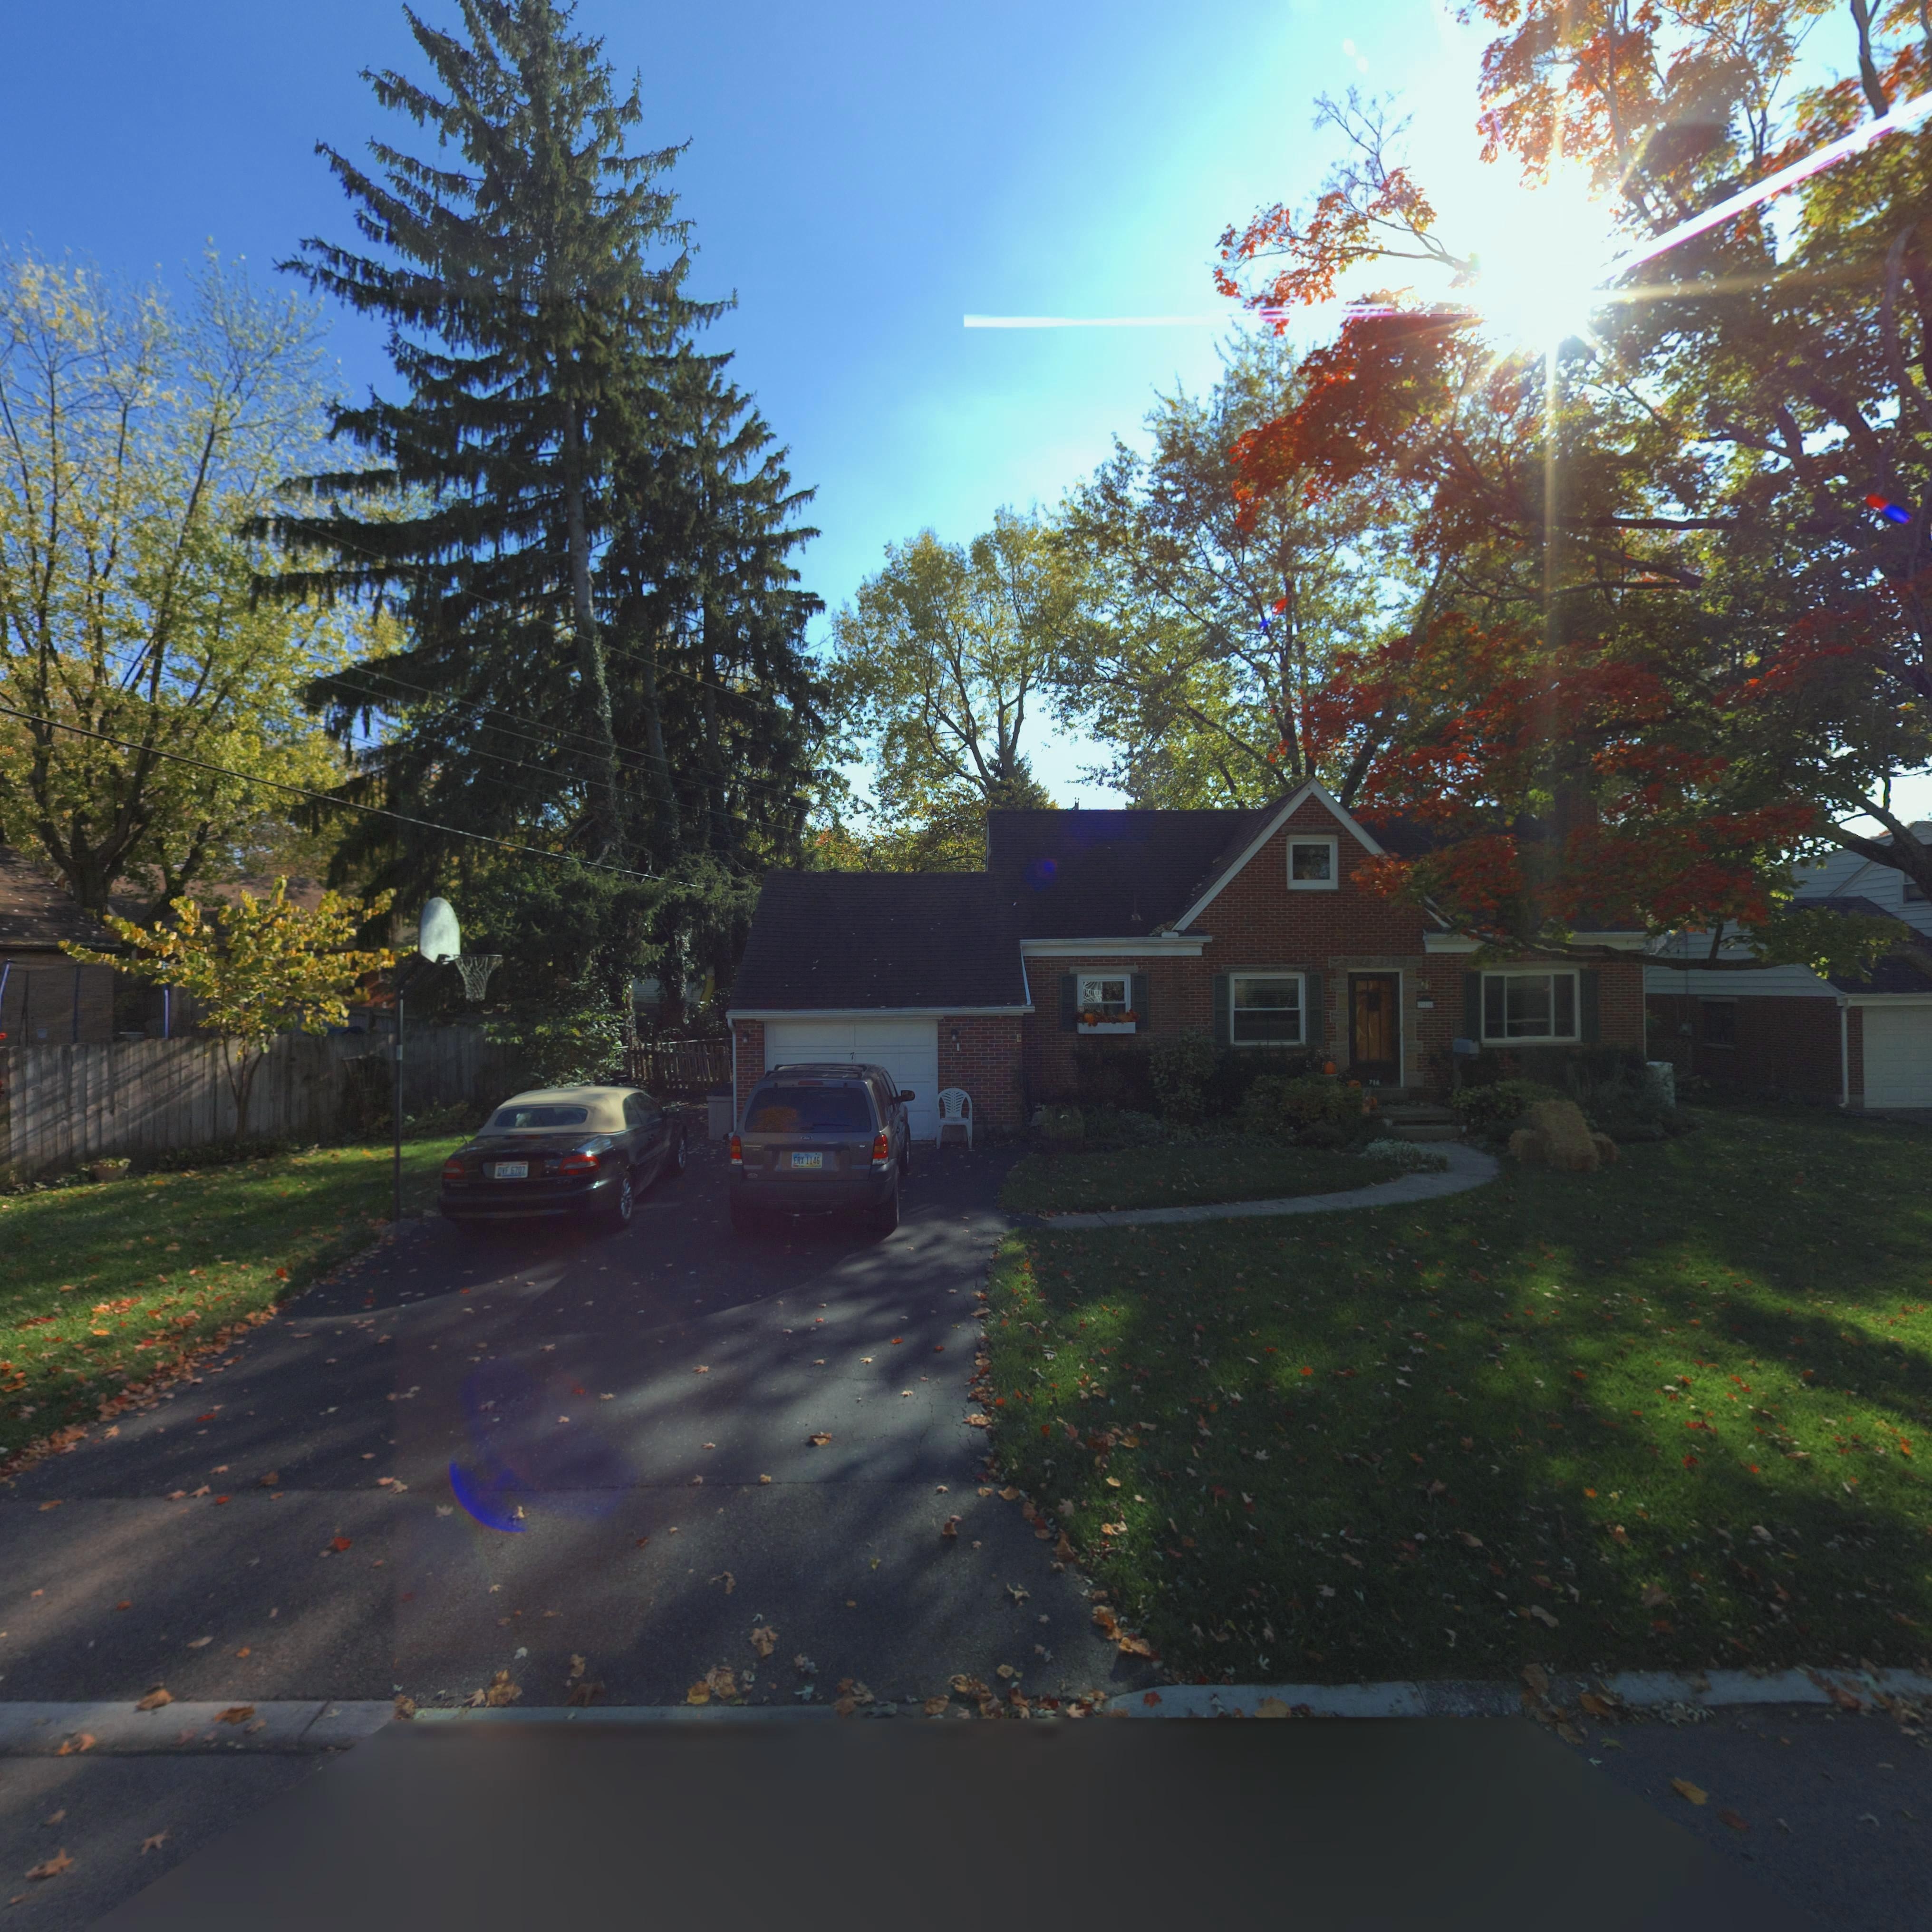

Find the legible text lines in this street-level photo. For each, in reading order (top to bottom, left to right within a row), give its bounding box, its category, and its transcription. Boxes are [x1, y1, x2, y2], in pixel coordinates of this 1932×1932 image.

[1368, 1079, 1381, 1087] StreetNumber: 716